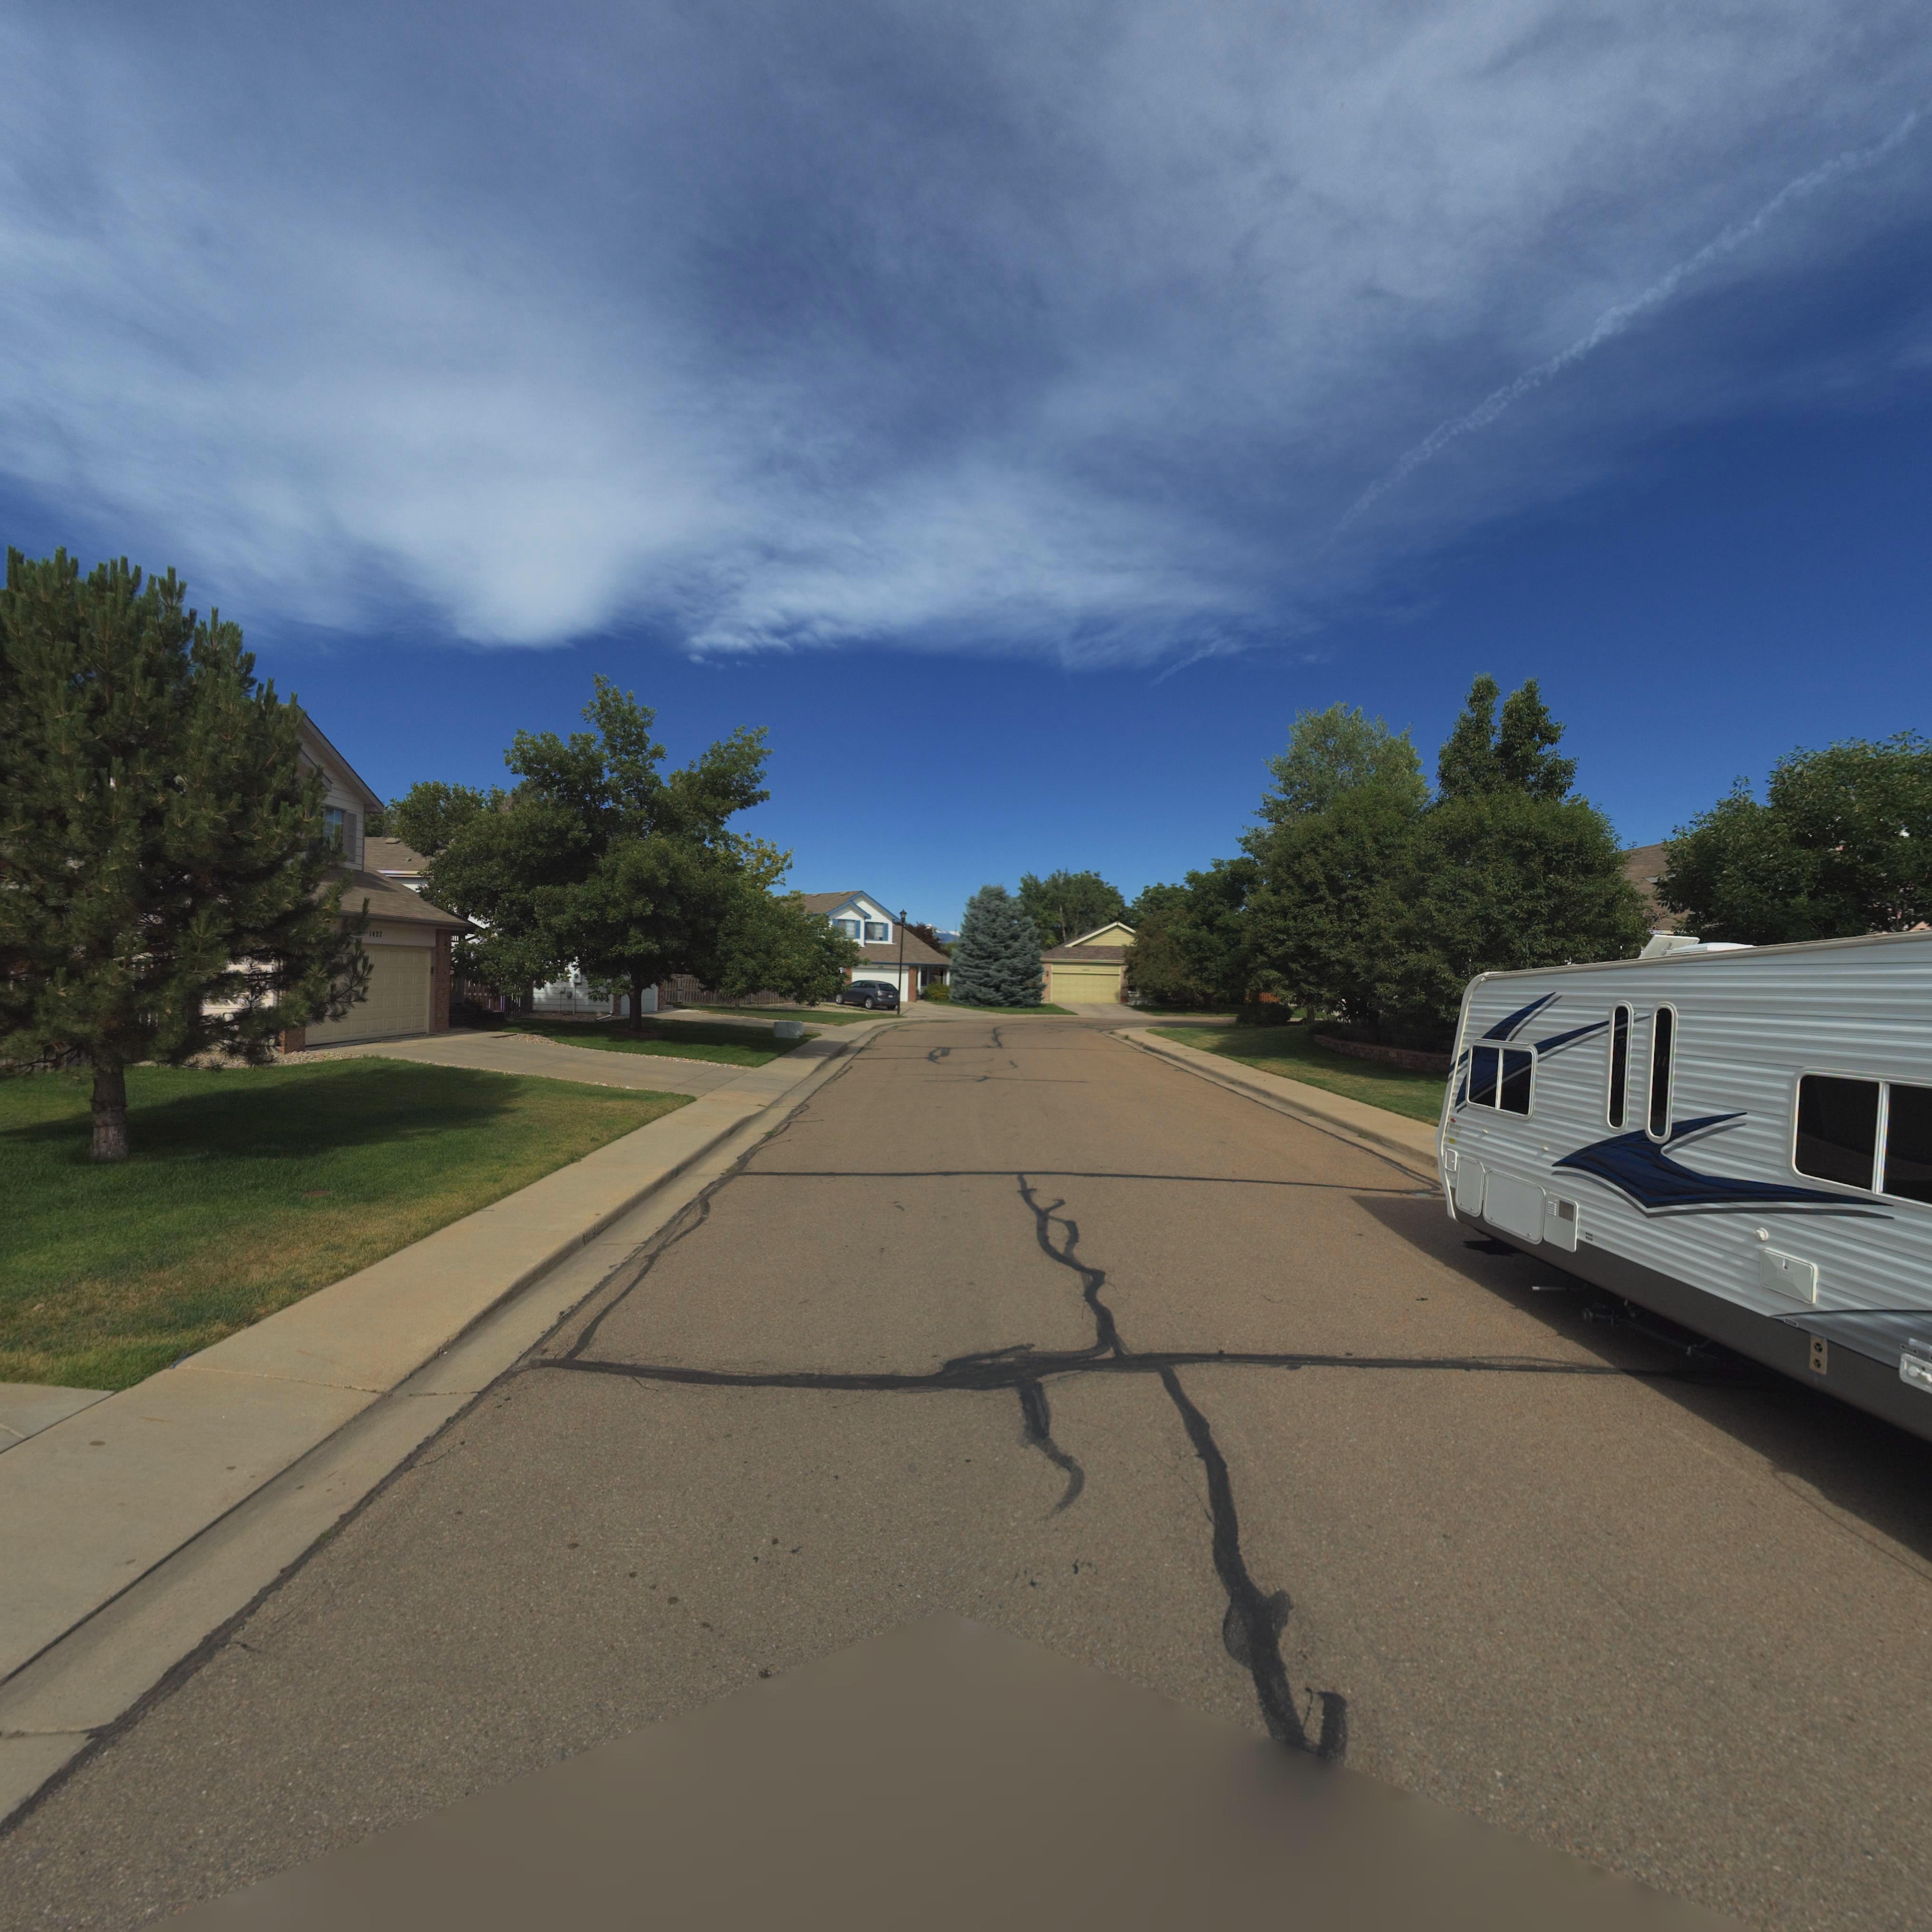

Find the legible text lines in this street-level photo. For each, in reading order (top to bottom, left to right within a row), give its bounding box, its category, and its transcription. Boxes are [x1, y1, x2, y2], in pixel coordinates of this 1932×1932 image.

[369, 930, 382, 937] StreetNumber: 1427